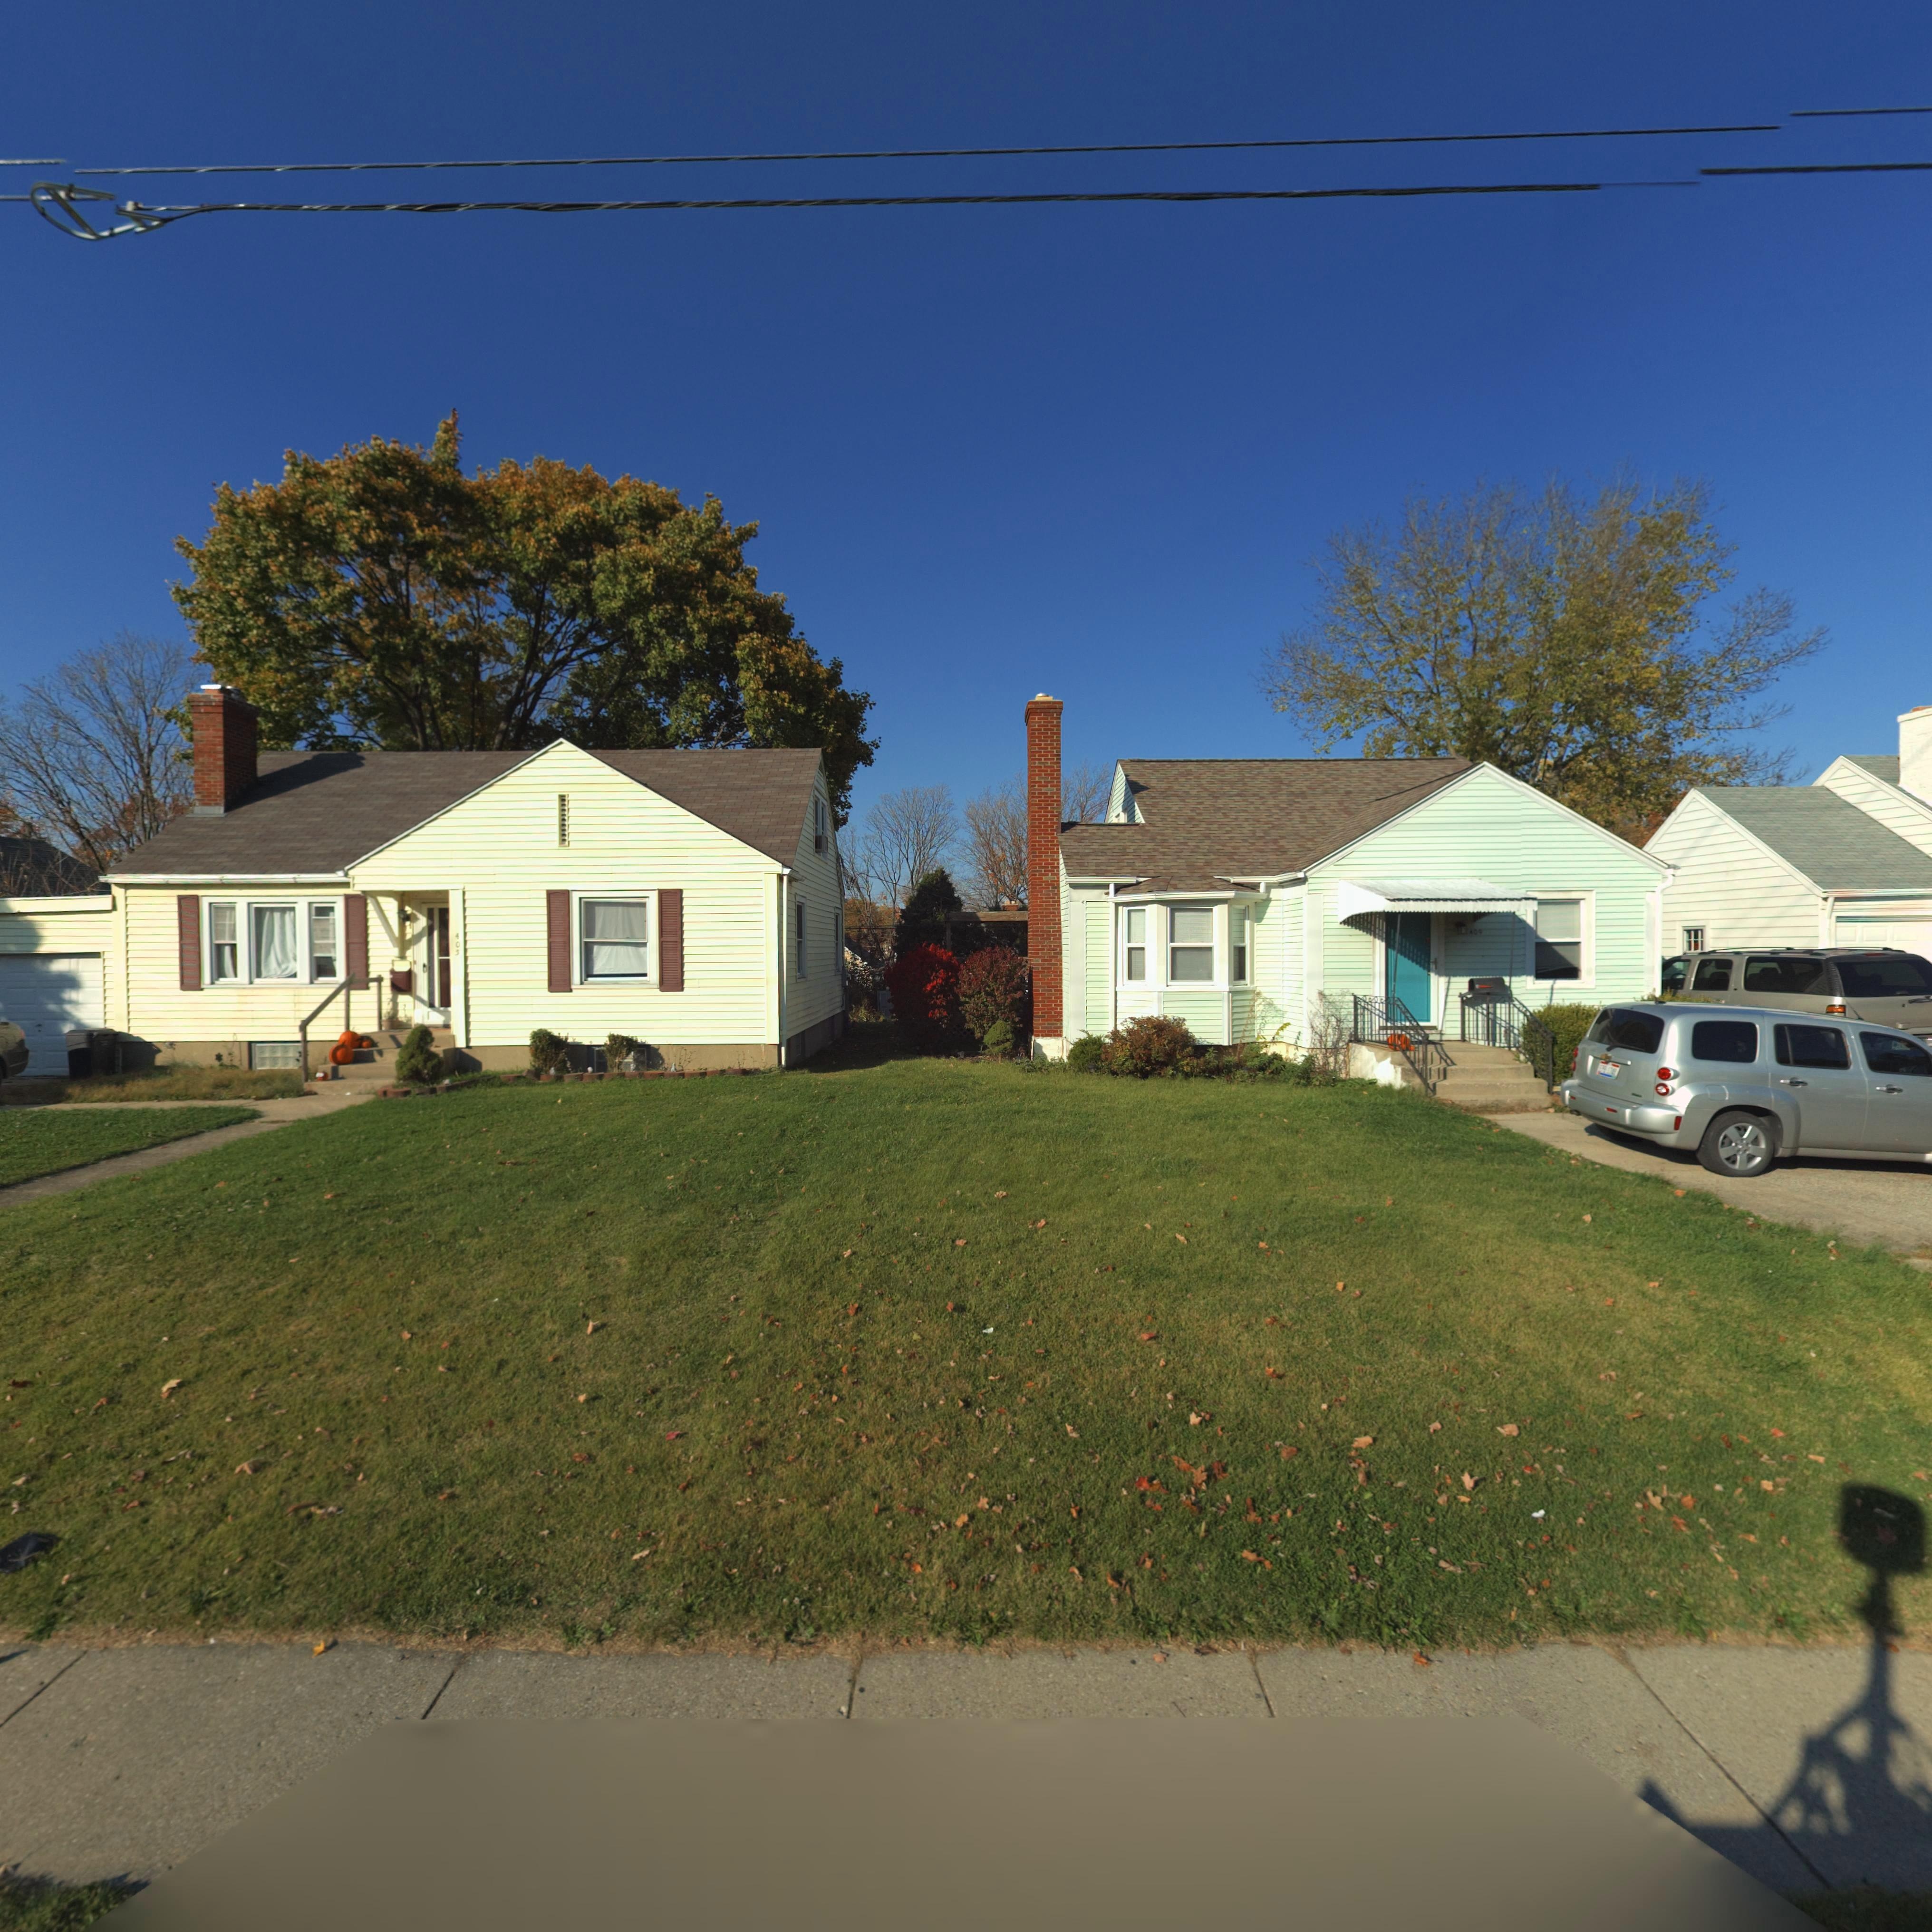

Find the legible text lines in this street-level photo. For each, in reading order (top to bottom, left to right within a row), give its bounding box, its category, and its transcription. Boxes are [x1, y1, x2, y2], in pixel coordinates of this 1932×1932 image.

[1468, 928, 1483, 936] StreetNumber: 409
[454, 932, 460, 956] StreetNumber: 405